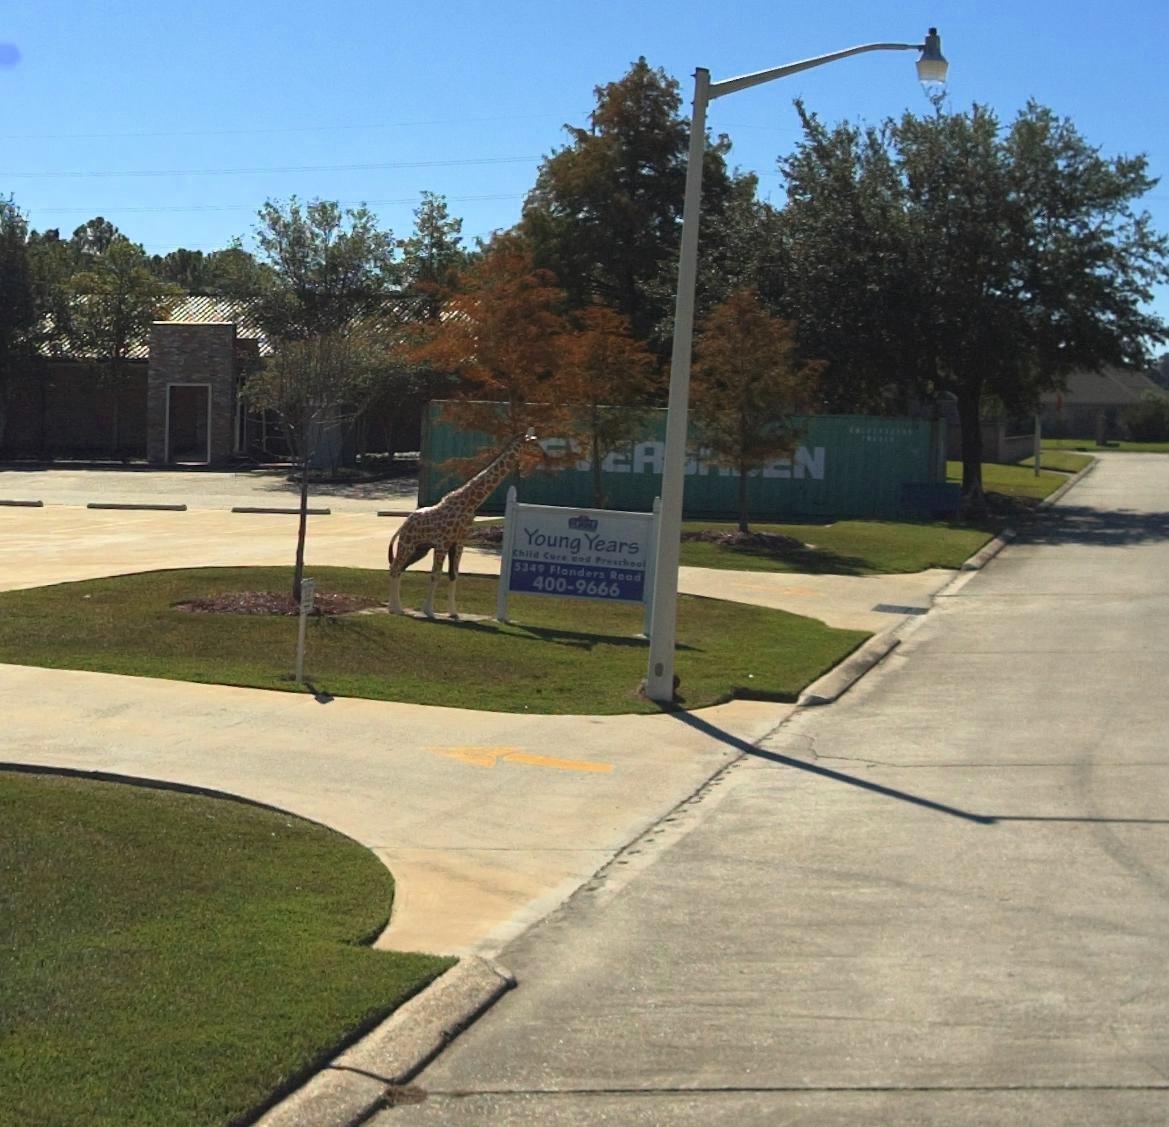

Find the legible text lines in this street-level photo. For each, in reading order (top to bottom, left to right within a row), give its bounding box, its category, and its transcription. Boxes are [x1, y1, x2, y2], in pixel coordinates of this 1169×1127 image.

[630, 436, 665, 475] None: R
[791, 442, 827, 480] None: N
[523, 525, 643, 556] BusinessName: Young Years
[512, 561, 545, 576] StreetNumber: 5340
[510, 547, 649, 569] None: Child Care and Preschool
[548, 561, 644, 585] StreetName: Flanders Road
[531, 575, 624, 600] None: 400-9666